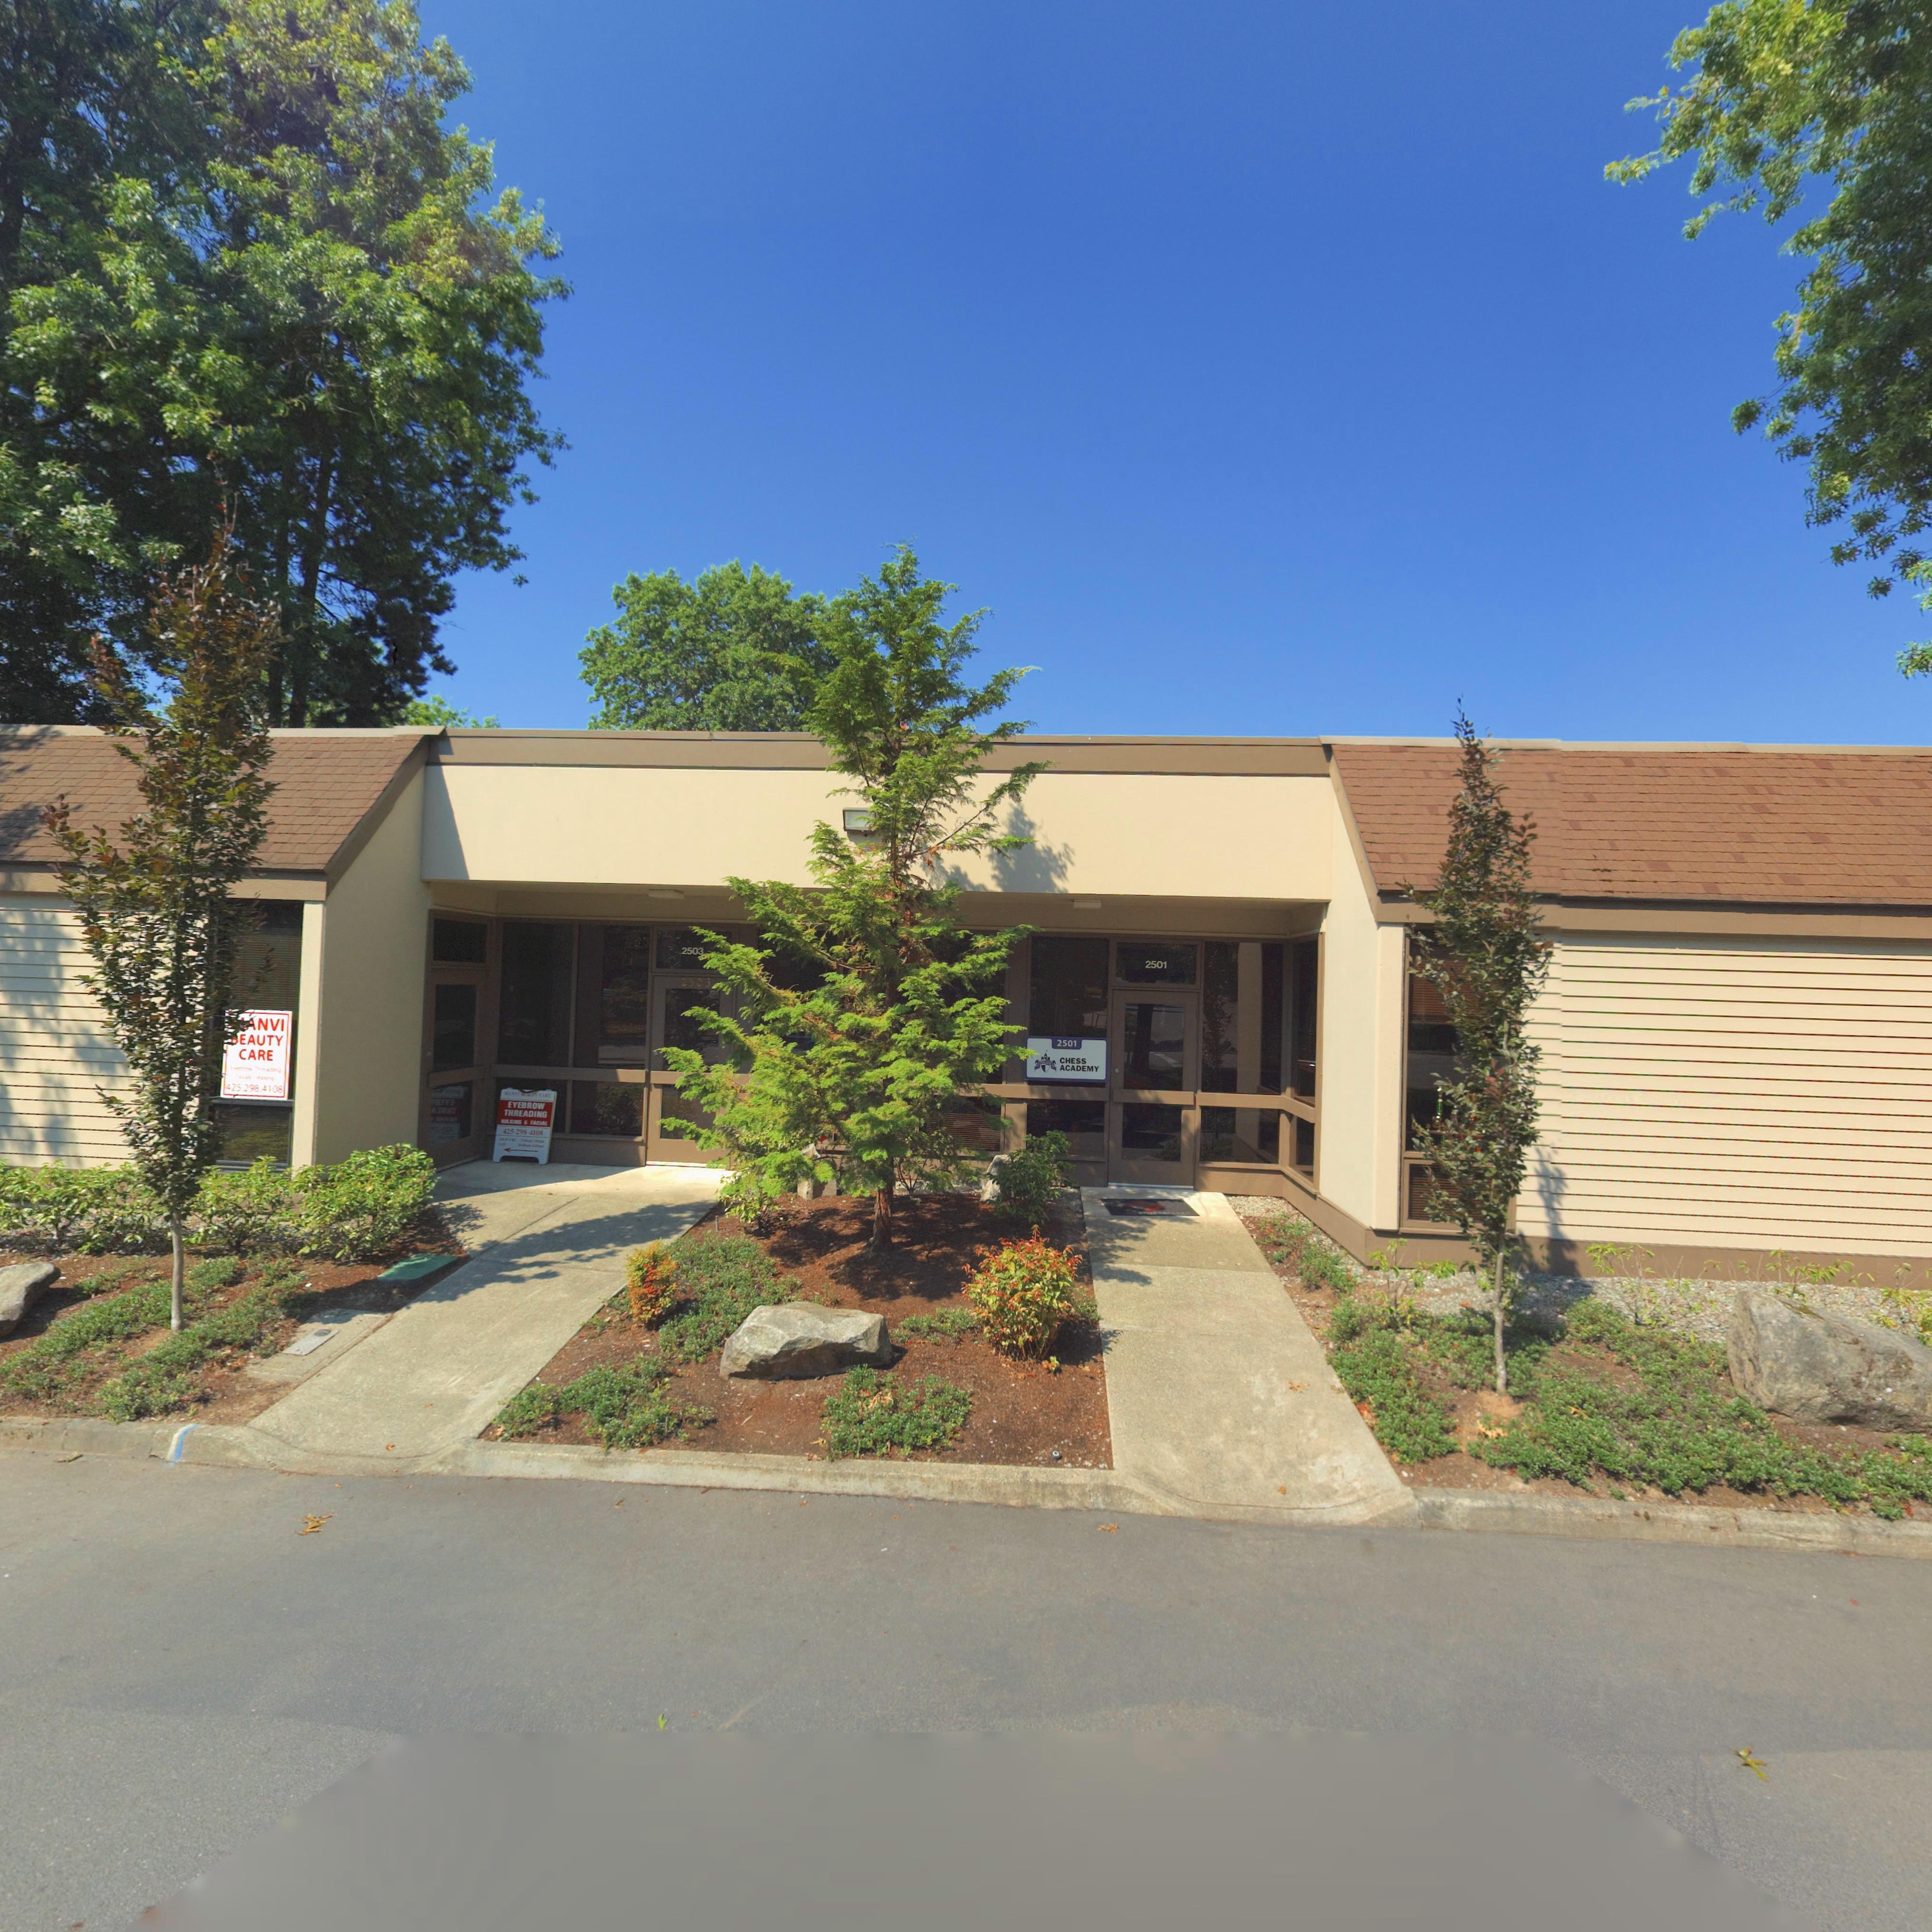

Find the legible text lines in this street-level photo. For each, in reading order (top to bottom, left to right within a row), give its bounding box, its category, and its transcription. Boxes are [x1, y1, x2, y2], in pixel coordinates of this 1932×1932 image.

[681, 946, 704, 956] StreetNumber: 2503
[1145, 960, 1167, 968] StreetNumber: 2501
[681, 977, 712, 988] StreetNumber: 2503
[1056, 1039, 1077, 1047] StreetNumber: 2501
[1059, 1057, 1086, 1064] BusinessName: CHESS
[1059, 1064, 1099, 1073] BusinessName: ACADEMY